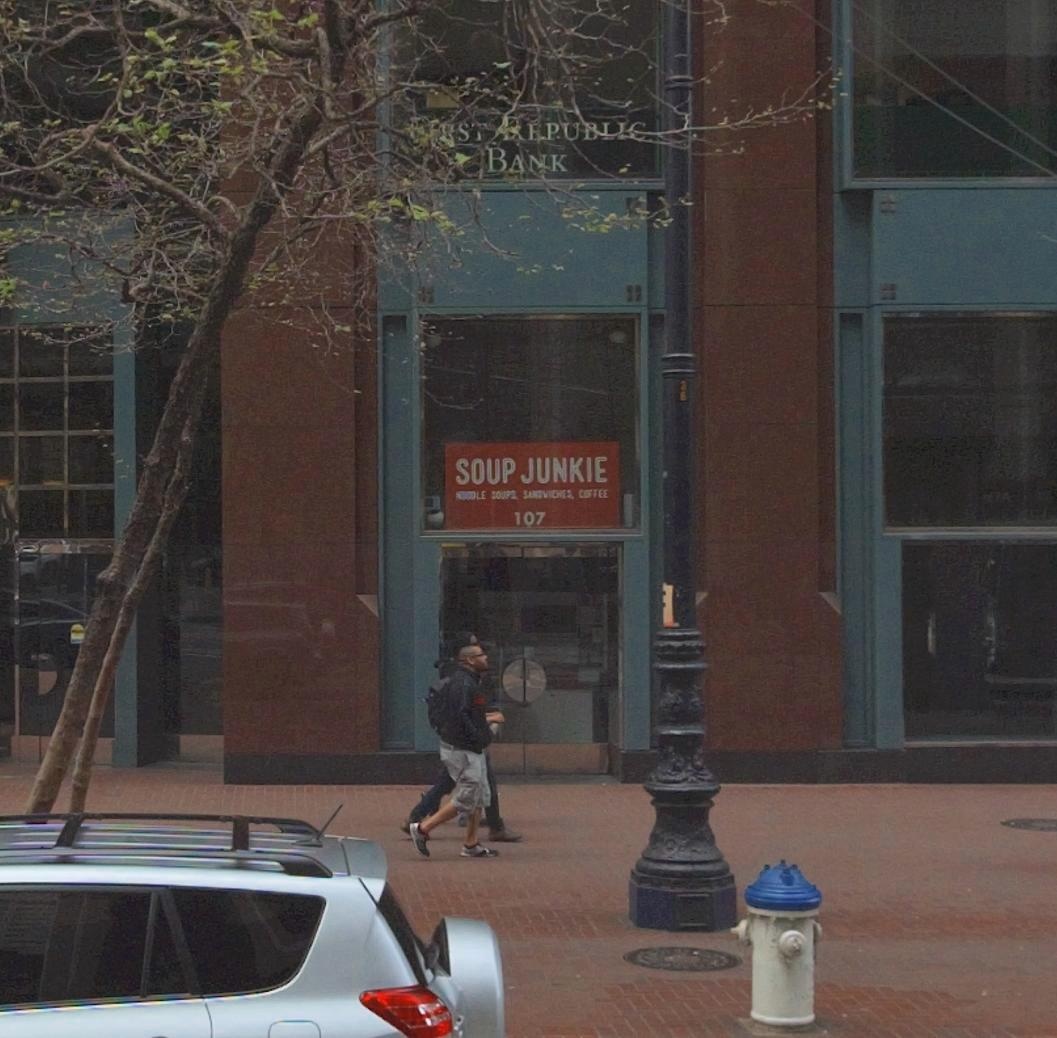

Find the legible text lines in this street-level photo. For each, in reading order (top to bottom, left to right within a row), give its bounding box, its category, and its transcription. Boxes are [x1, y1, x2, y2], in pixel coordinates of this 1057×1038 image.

[543, 121, 583, 142] BusinessName: PU
[486, 145, 571, 175] BusinessName: BA*K
[452, 454, 611, 488] BusinessName: SOUP JUNKIE
[453, 486, 610, 505] None: ****LE *OUP*, S********S C**FEE
[512, 509, 549, 529] StreetNumber: 107